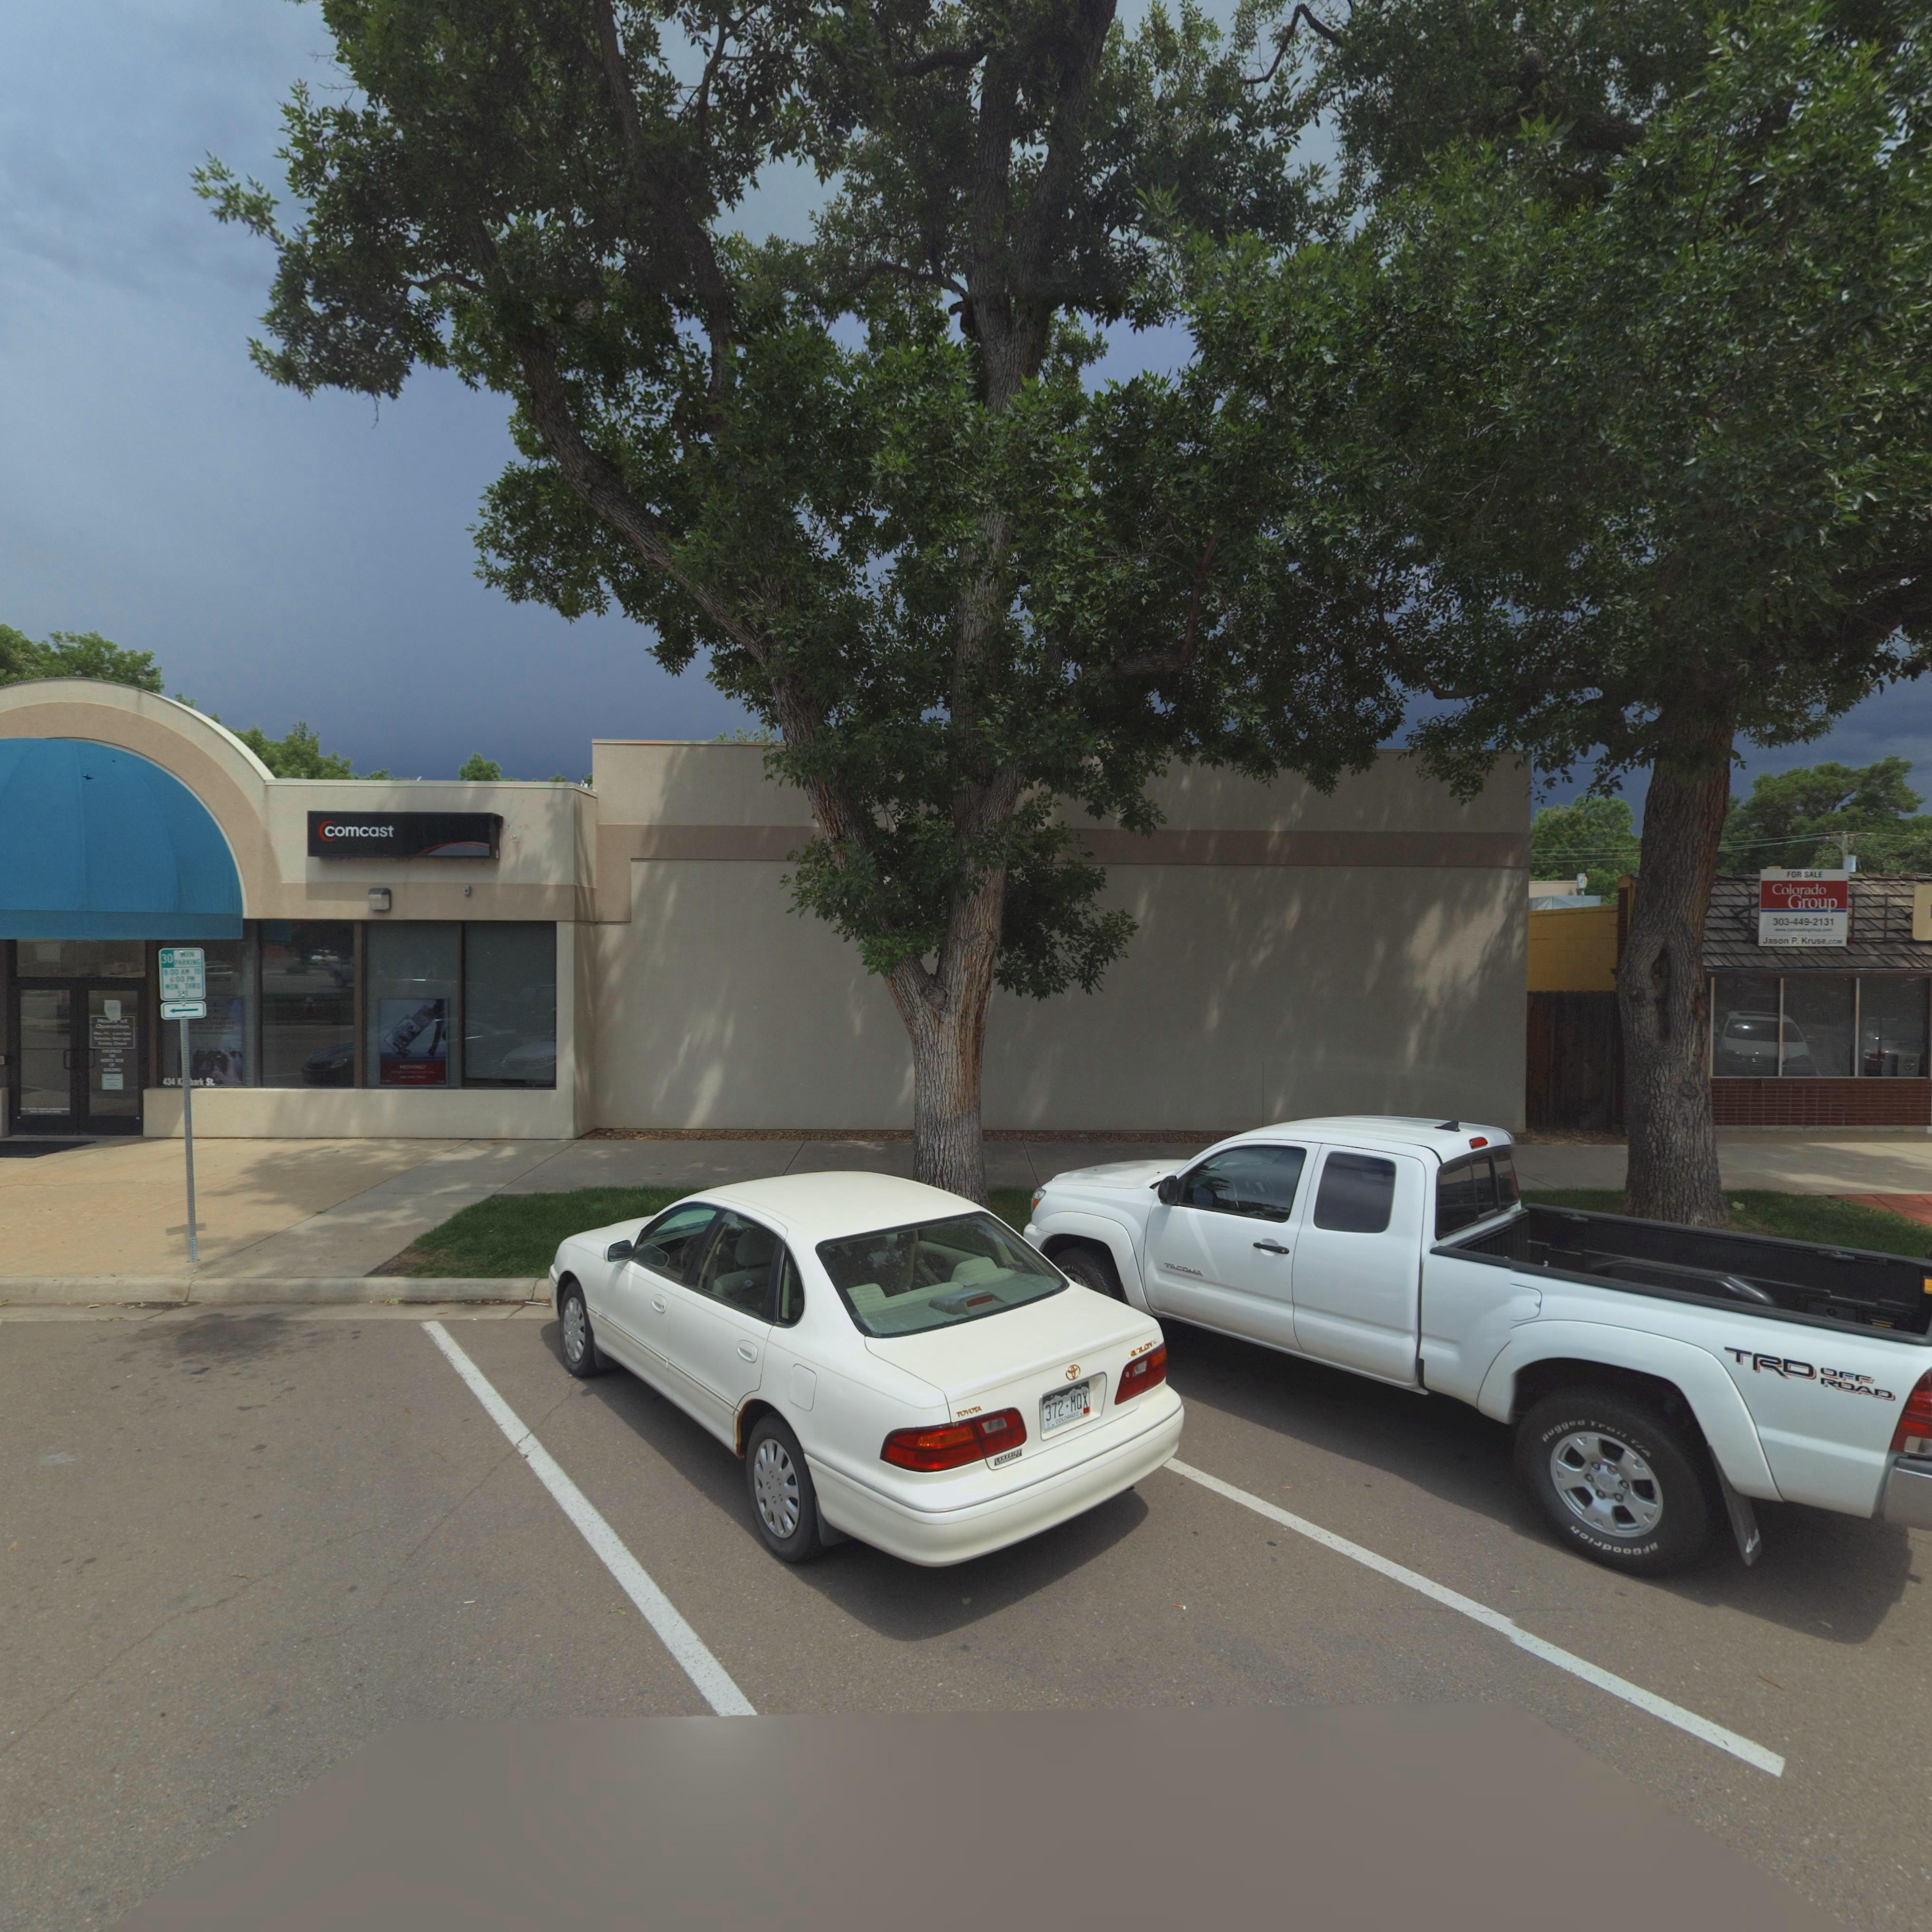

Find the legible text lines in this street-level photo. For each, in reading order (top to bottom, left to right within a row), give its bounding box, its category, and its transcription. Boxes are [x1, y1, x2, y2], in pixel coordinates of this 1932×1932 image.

[322, 824, 395, 838] BusinessName: comcast
[161, 1077, 175, 1086] StreetNumber: 434
[176, 1076, 214, 1086] StreetName: K**bark St